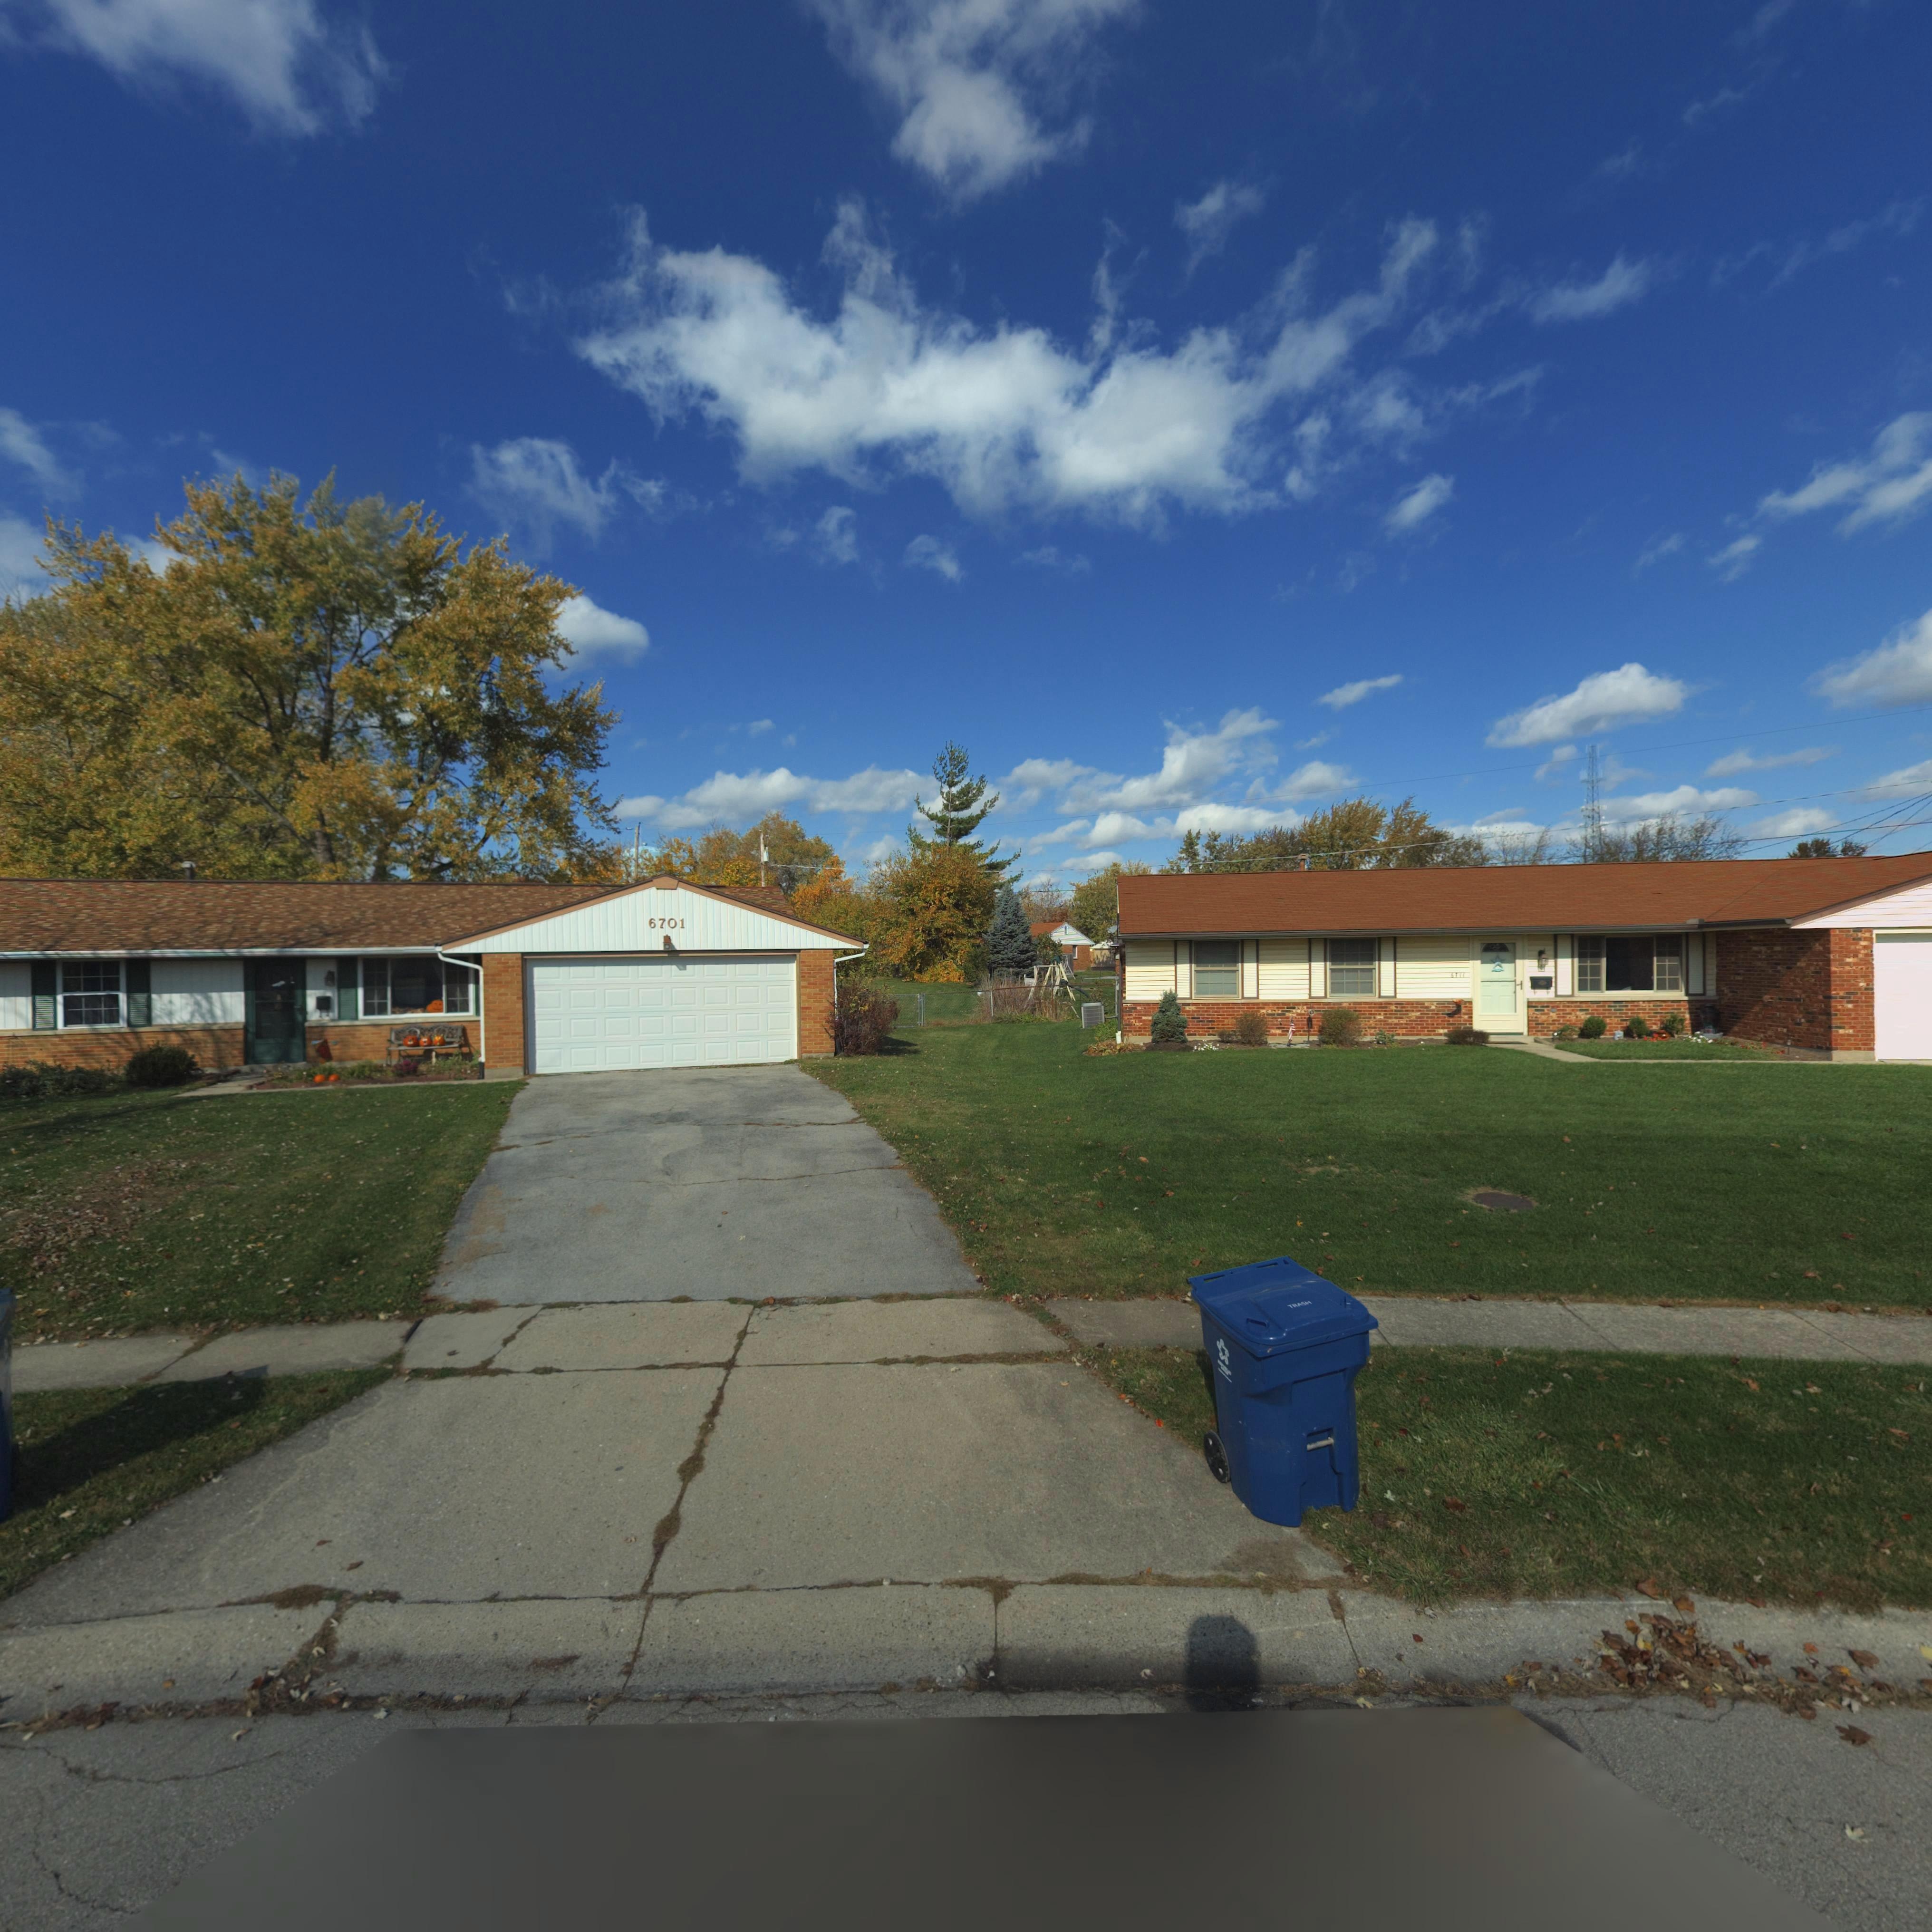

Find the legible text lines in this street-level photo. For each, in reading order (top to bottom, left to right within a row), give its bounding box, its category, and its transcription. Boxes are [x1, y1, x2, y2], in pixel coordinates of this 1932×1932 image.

[648, 917, 686, 929] StreetNumber: 6701
[1450, 972, 1466, 978] StreetNumber: 6711